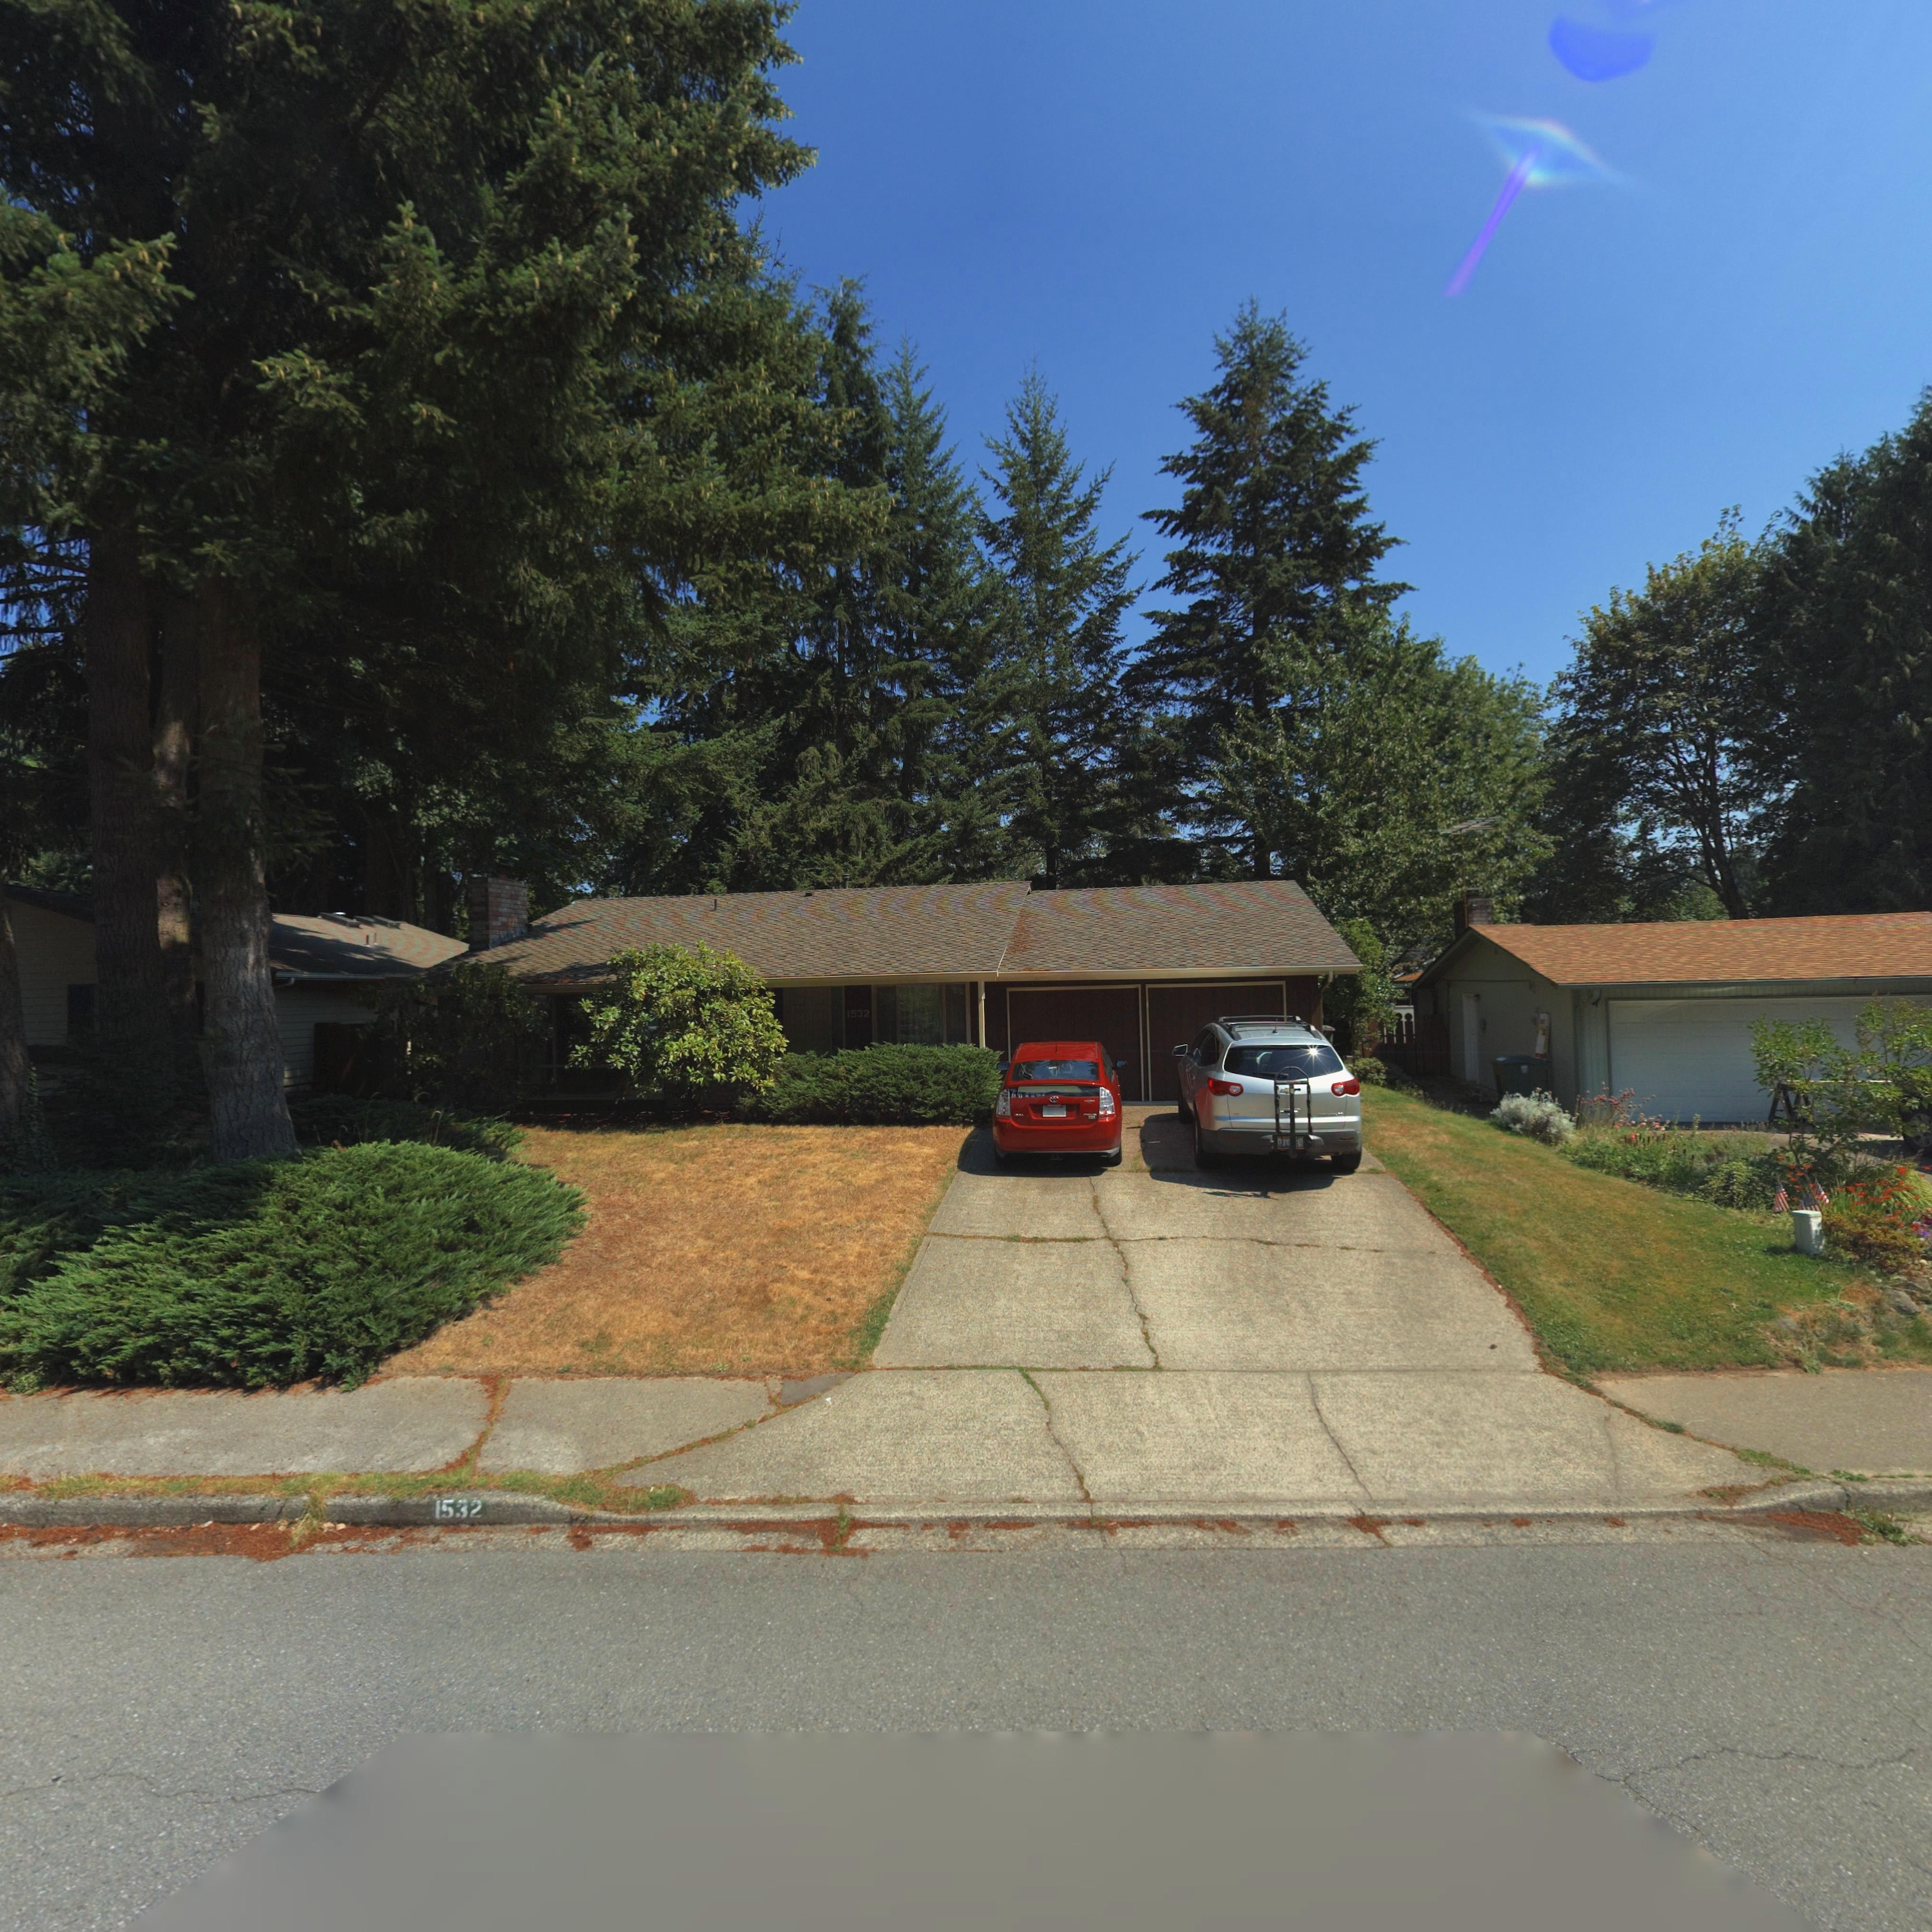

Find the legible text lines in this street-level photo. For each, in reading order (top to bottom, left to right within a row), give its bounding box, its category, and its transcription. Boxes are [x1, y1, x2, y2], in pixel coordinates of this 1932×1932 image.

[846, 1008, 870, 1018] StreetNumber: 1532
[435, 1498, 483, 1519] StreetNumber: 1532